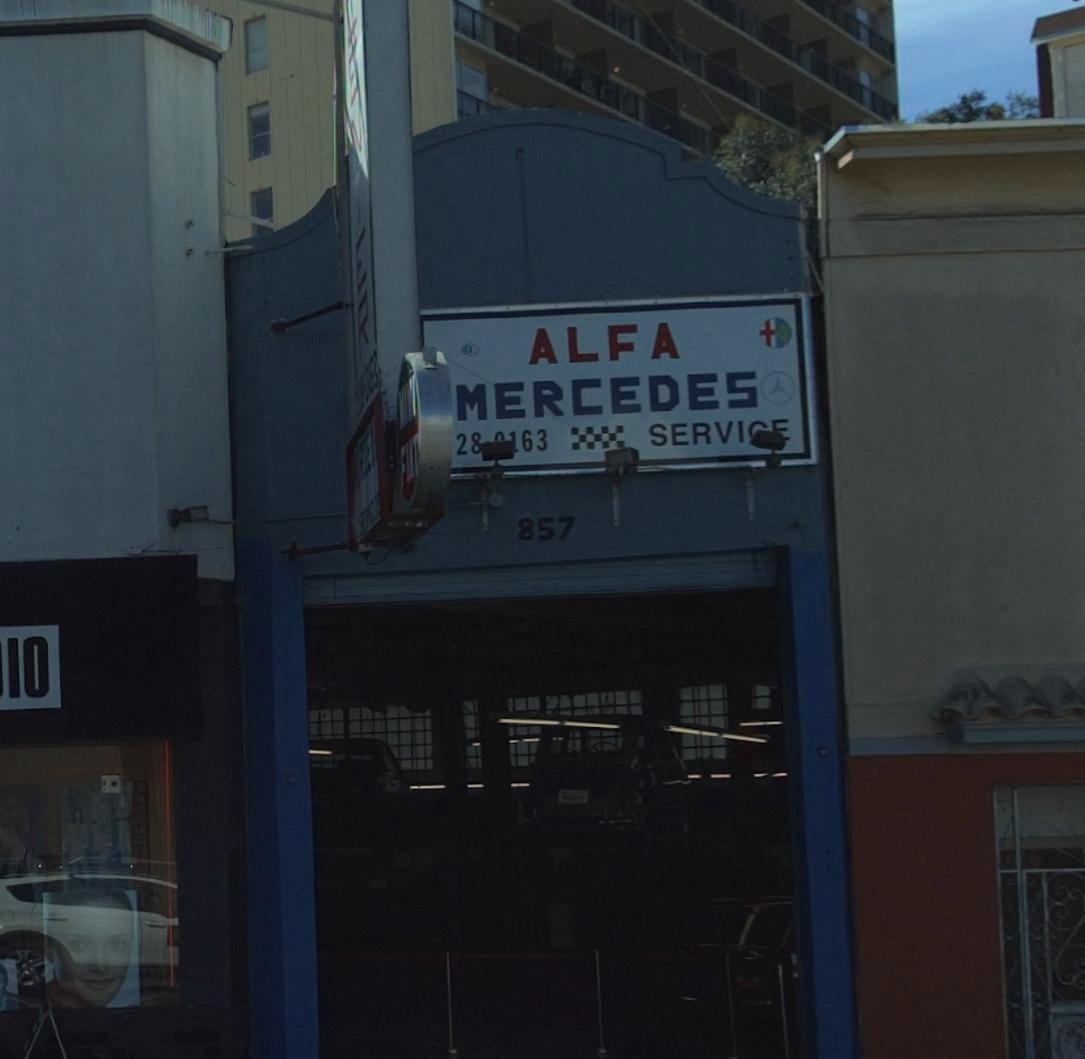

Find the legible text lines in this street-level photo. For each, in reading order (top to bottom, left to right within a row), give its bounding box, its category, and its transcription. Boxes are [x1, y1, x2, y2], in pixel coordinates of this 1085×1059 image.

[354, 218, 373, 363] None: ER
[526, 320, 683, 367] BusinessName: ALFA
[455, 369, 760, 423] BusinessName: MERCEDES
[454, 427, 550, 457] None: 1****63
[646, 417, 792, 449] None: SERVI**
[515, 514, 581, 543] StreetNumber: 857
[5, 634, 52, 701] BusinessName: IO